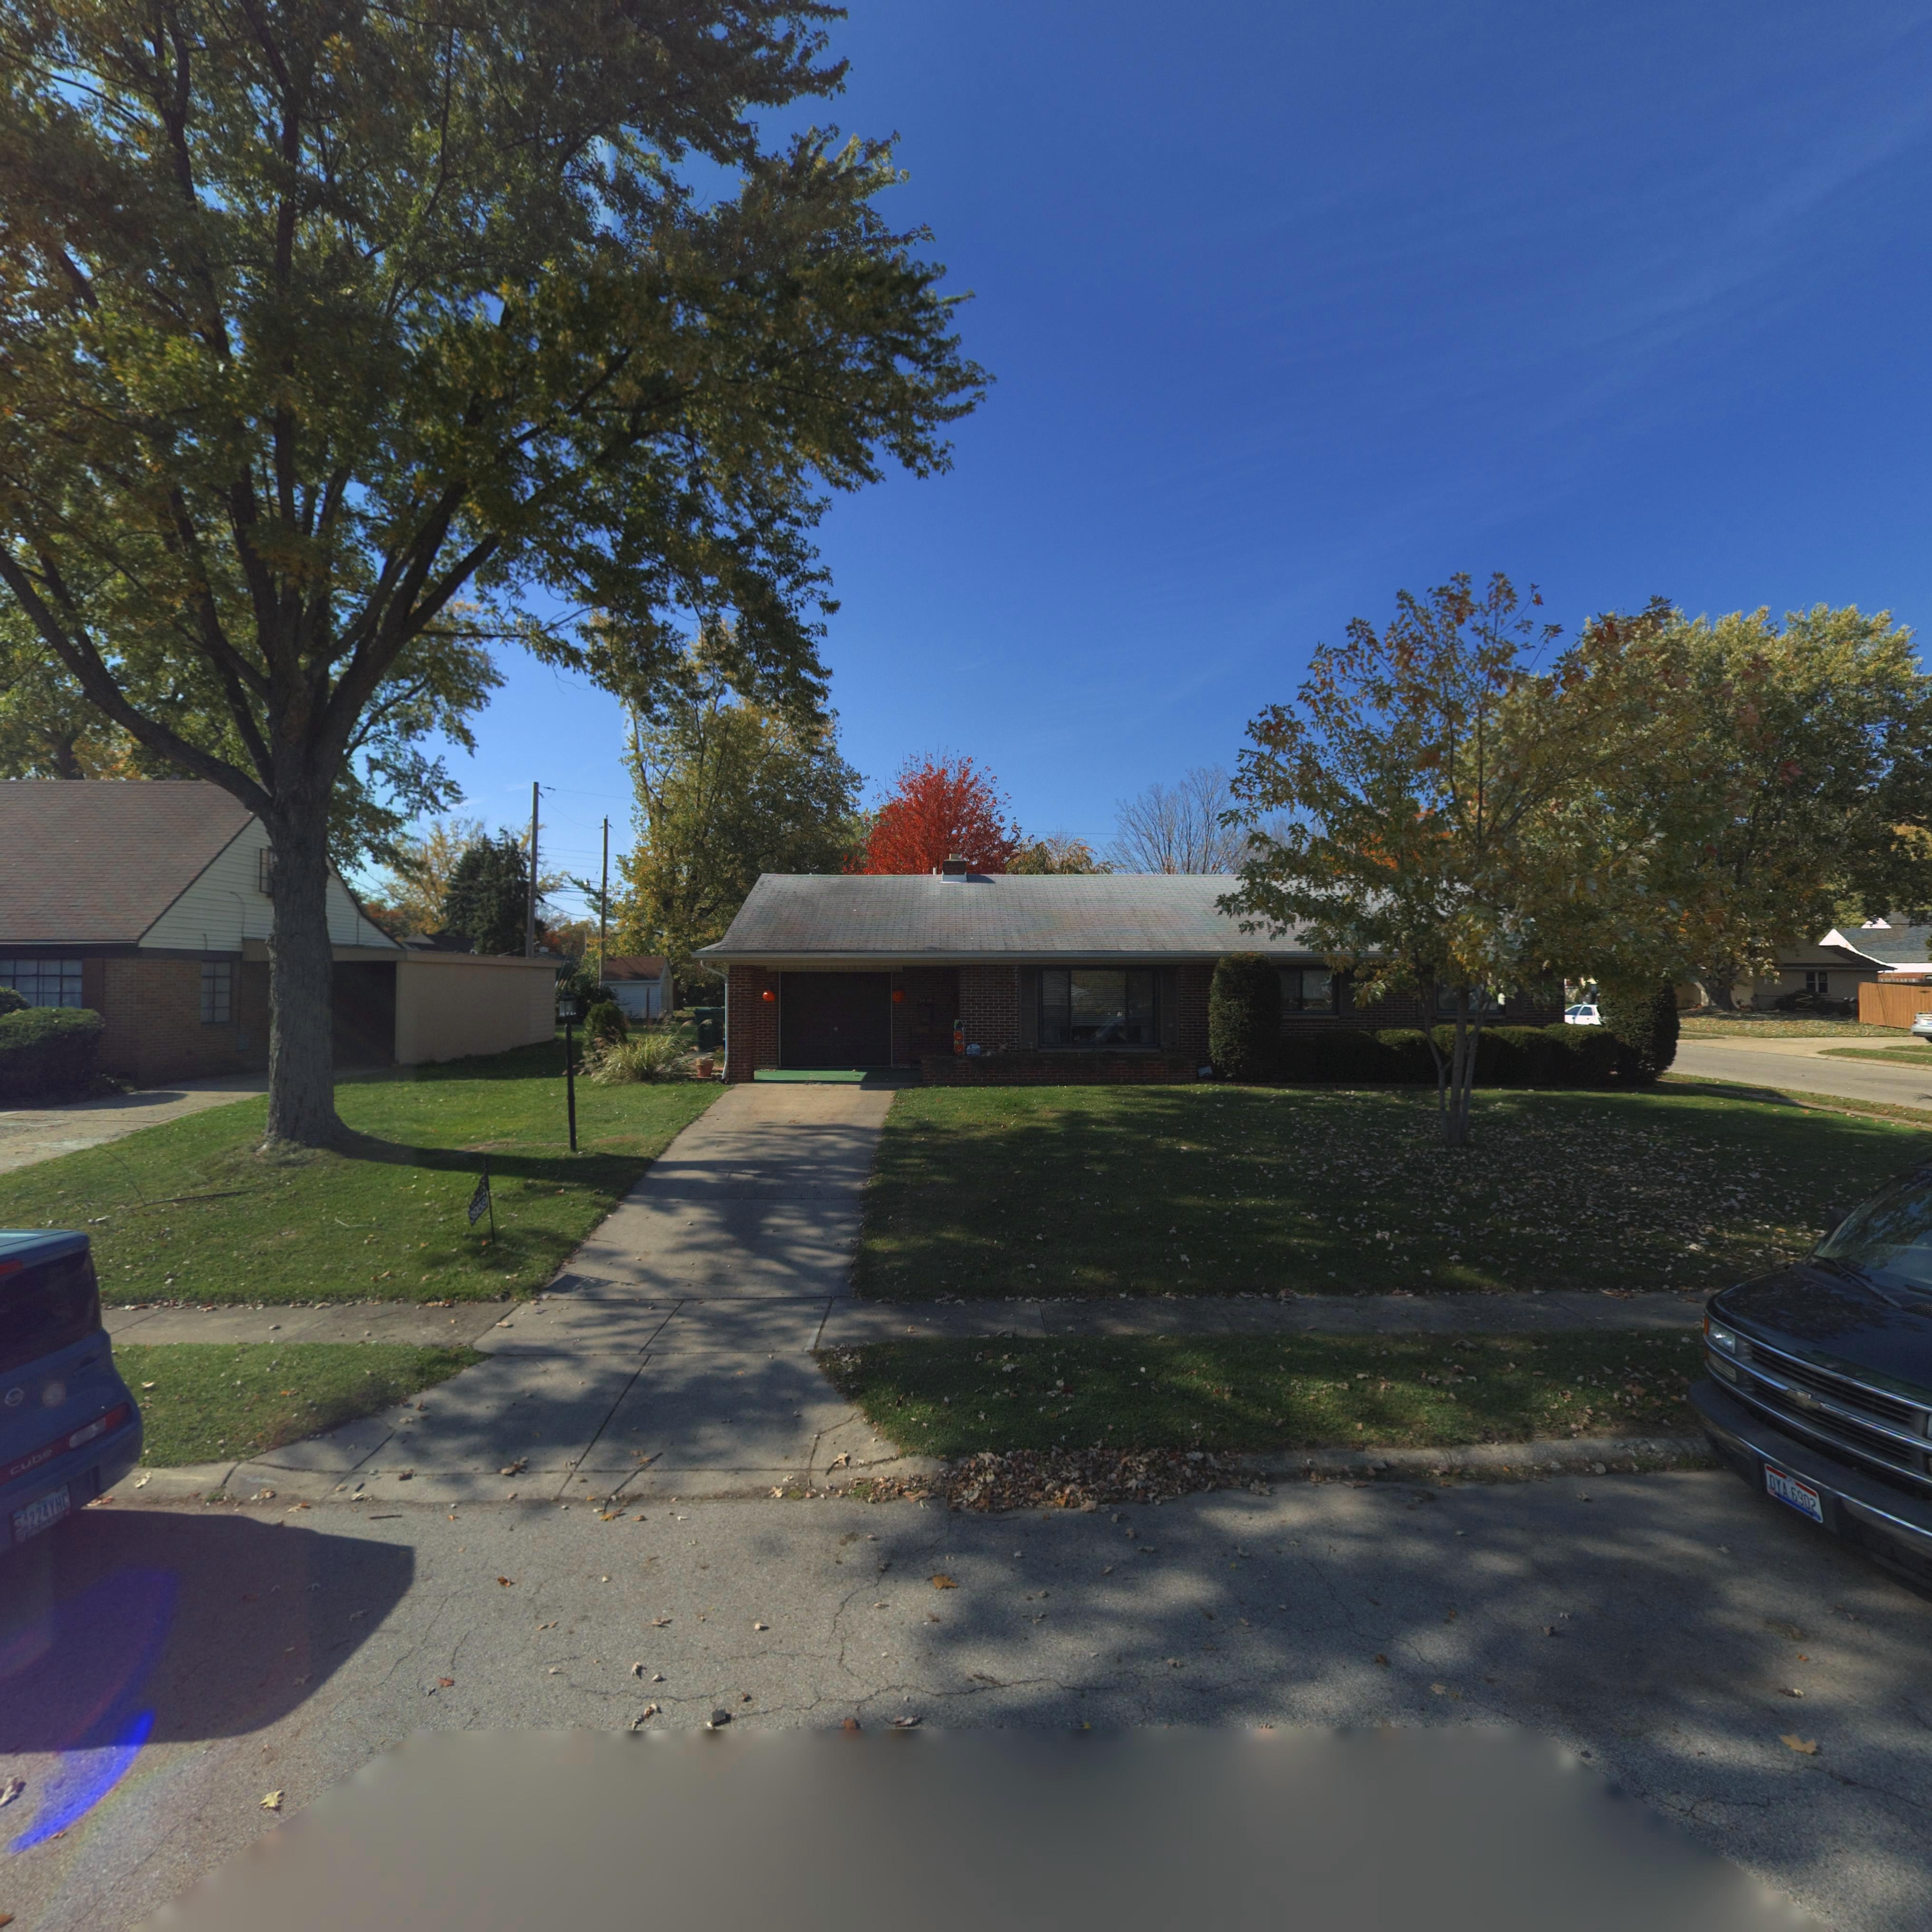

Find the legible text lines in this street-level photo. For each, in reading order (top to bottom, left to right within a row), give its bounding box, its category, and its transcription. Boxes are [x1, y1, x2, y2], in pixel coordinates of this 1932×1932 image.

[918, 997, 933, 1005] StreetNumber: 39*9
[8, 1447, 54, 1477] None: cube
[27, 1490, 70, 1529] None: 224YHC
[1767, 1471, 1819, 1517] None: DYA 6902